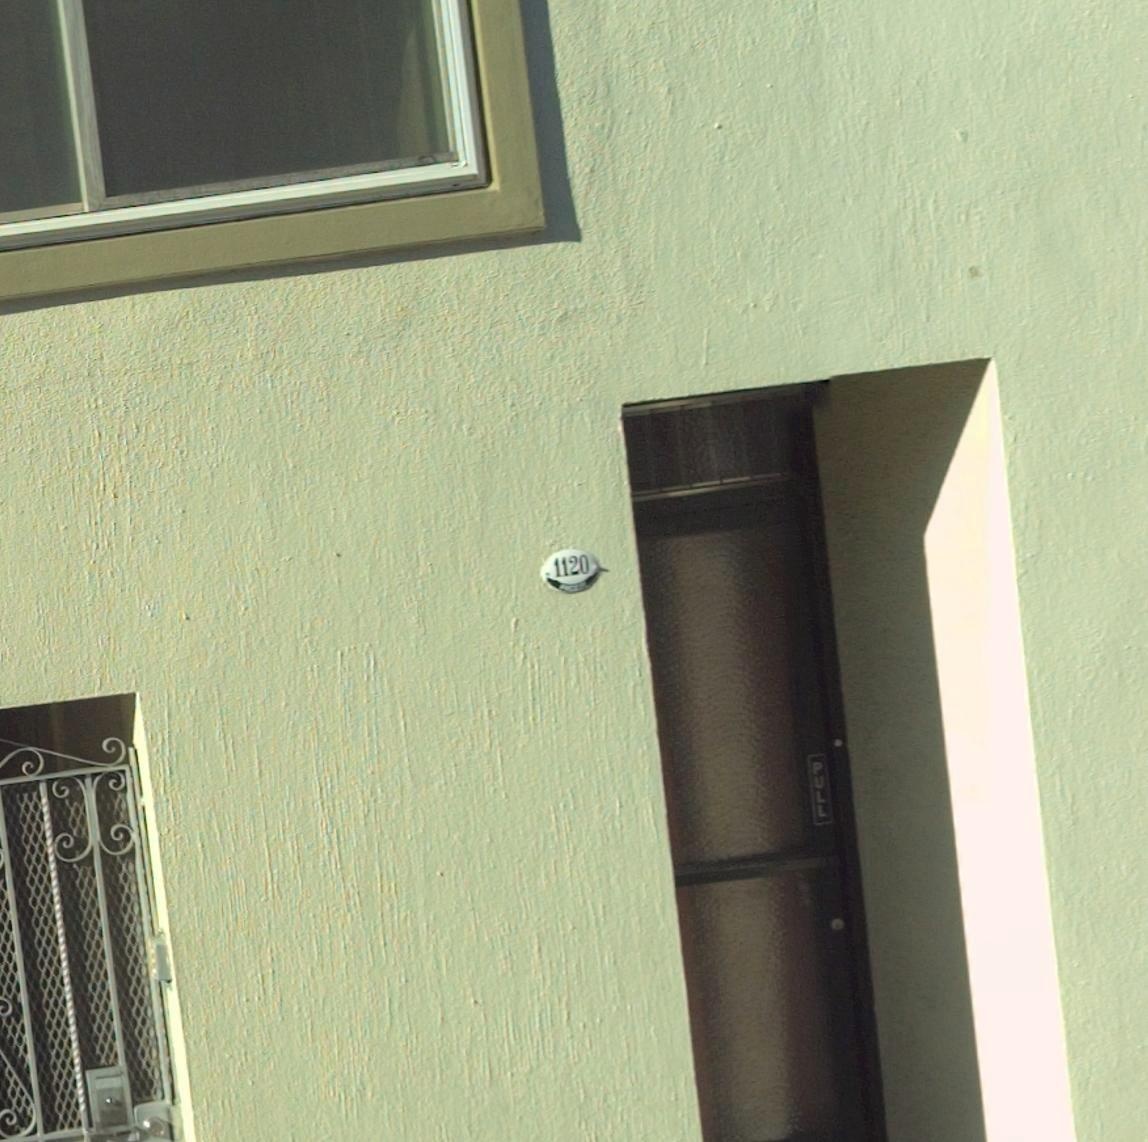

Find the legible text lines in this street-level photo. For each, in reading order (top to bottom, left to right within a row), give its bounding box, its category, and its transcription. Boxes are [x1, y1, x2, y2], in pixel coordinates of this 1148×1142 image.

[550, 554, 592, 579] StreetNumber: 1120
[810, 759, 830, 820] None: PULL